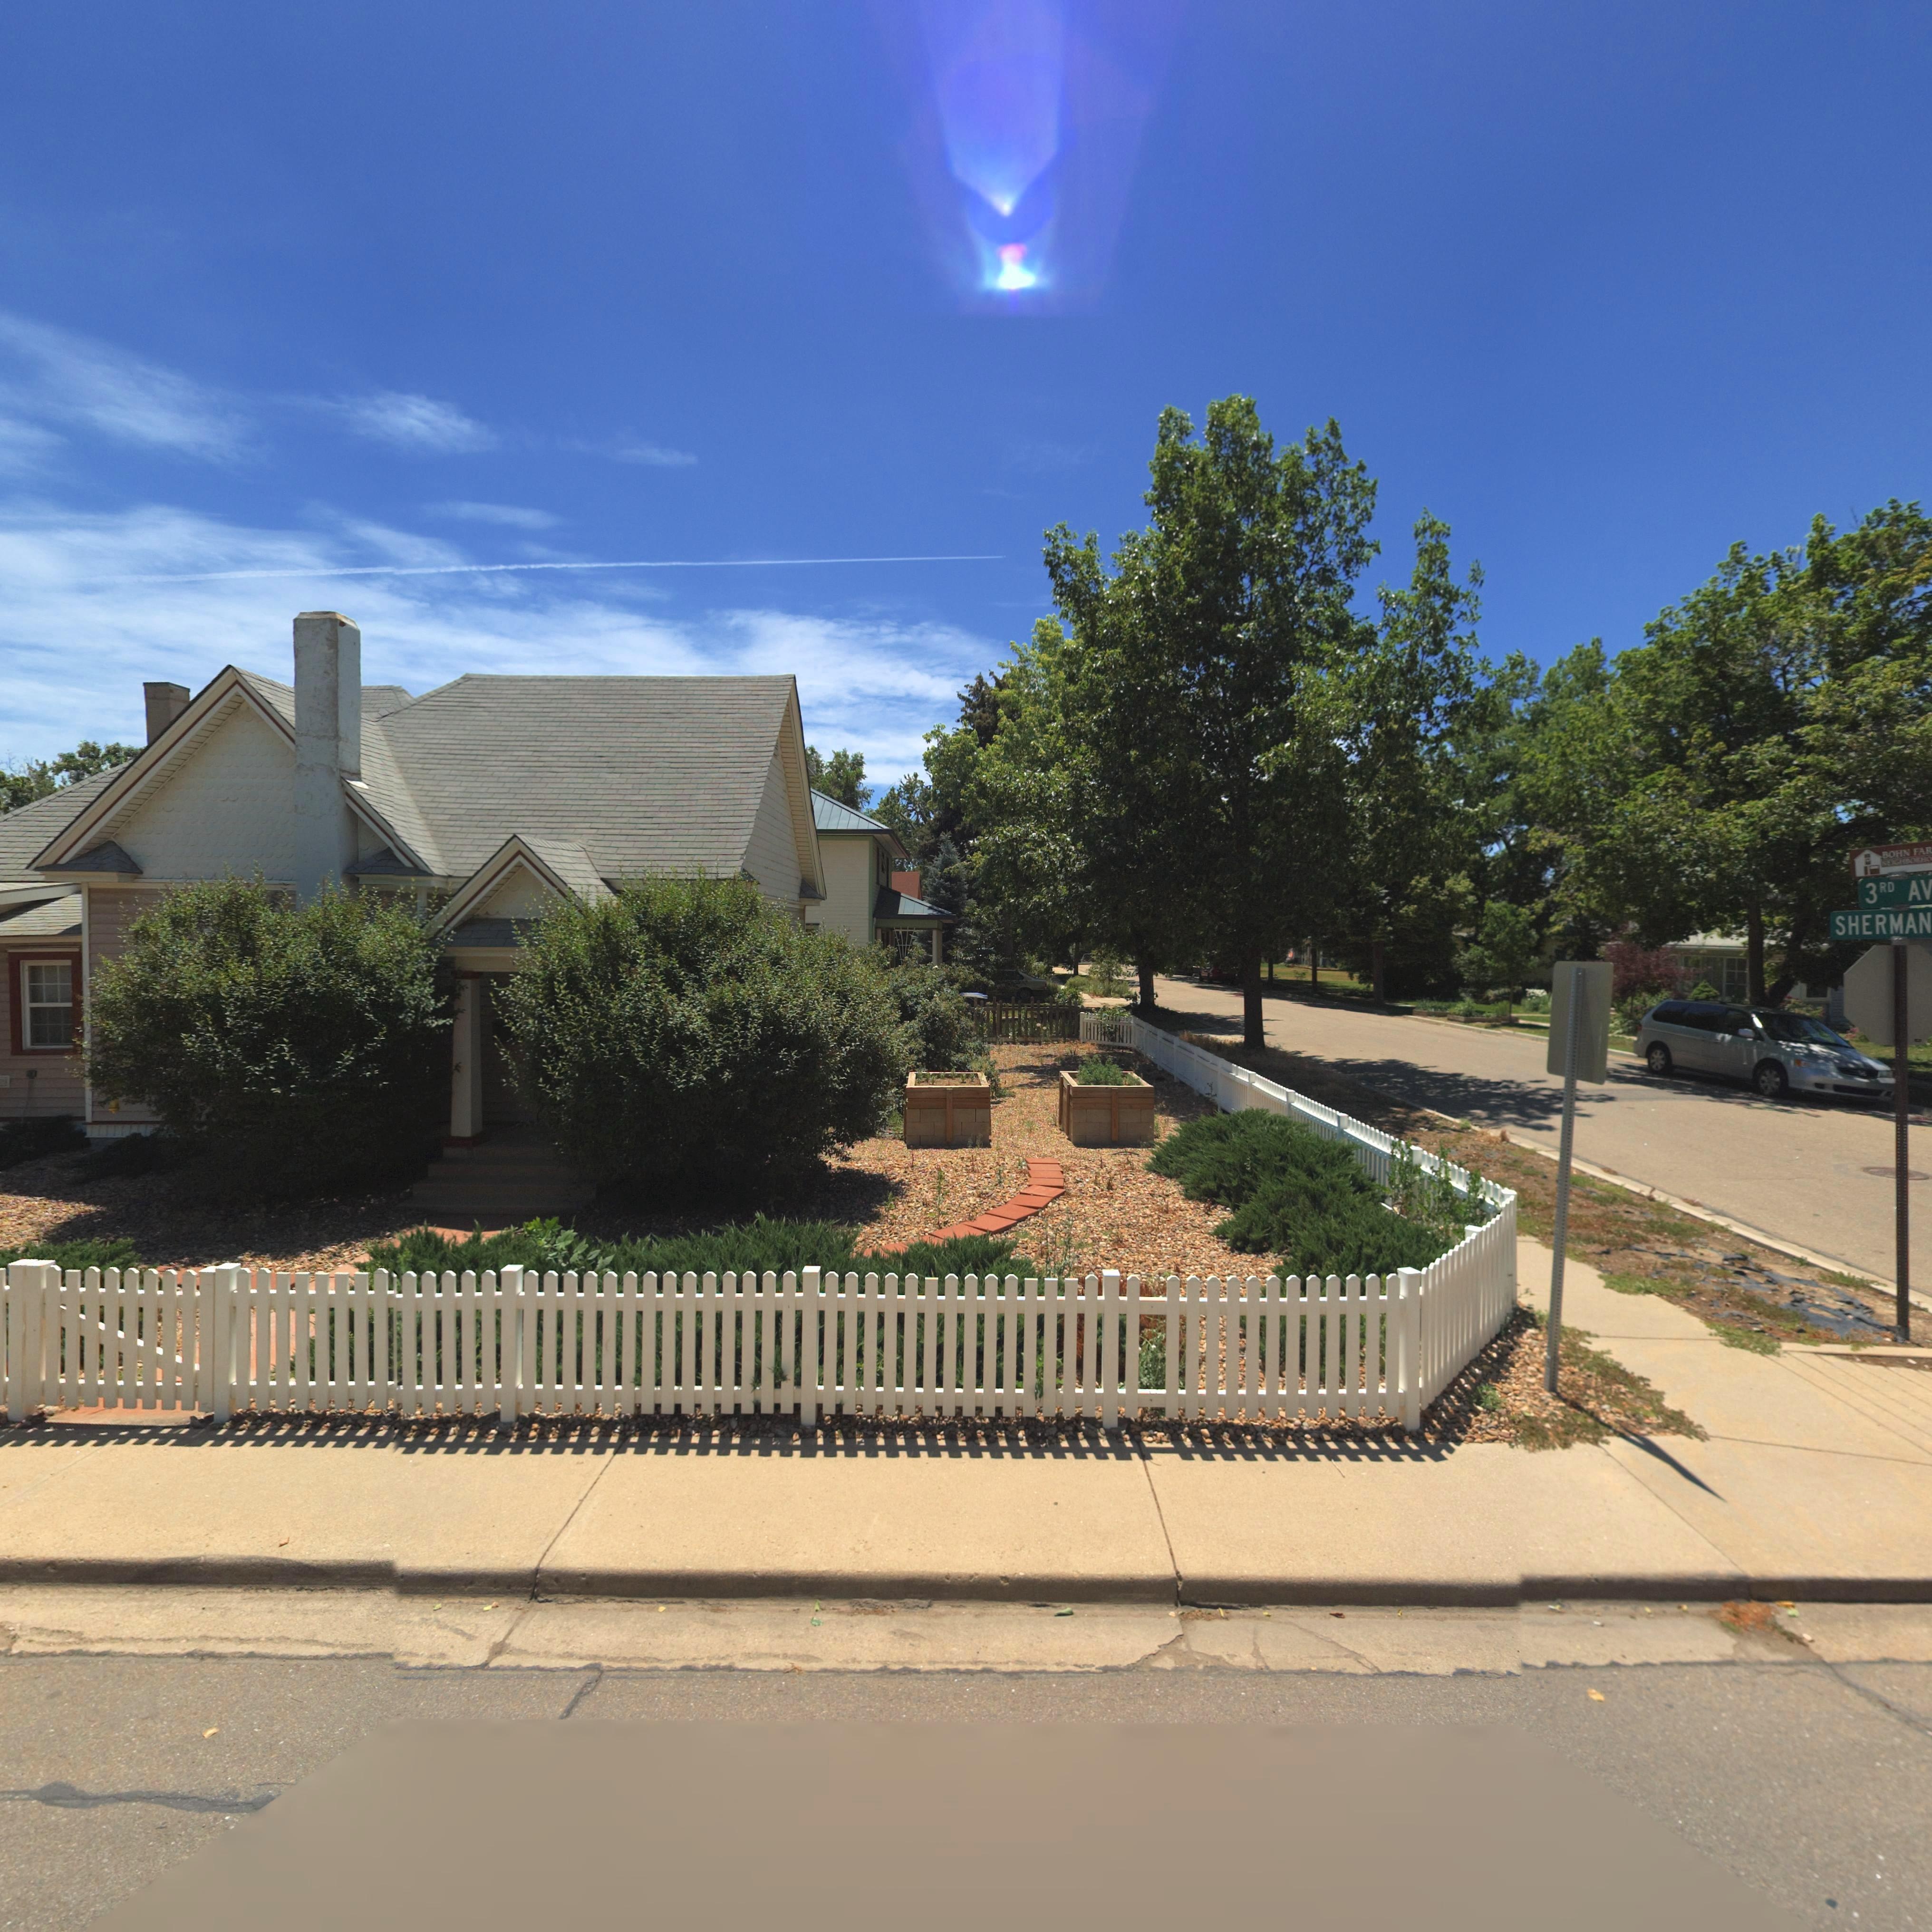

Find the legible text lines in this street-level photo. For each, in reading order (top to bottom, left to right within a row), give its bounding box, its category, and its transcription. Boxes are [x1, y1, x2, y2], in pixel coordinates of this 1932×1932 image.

[1864, 879, 1932, 904] StreetName: 3RD AV
[1835, 912, 1932, 936] StreetName: SHERMAN 